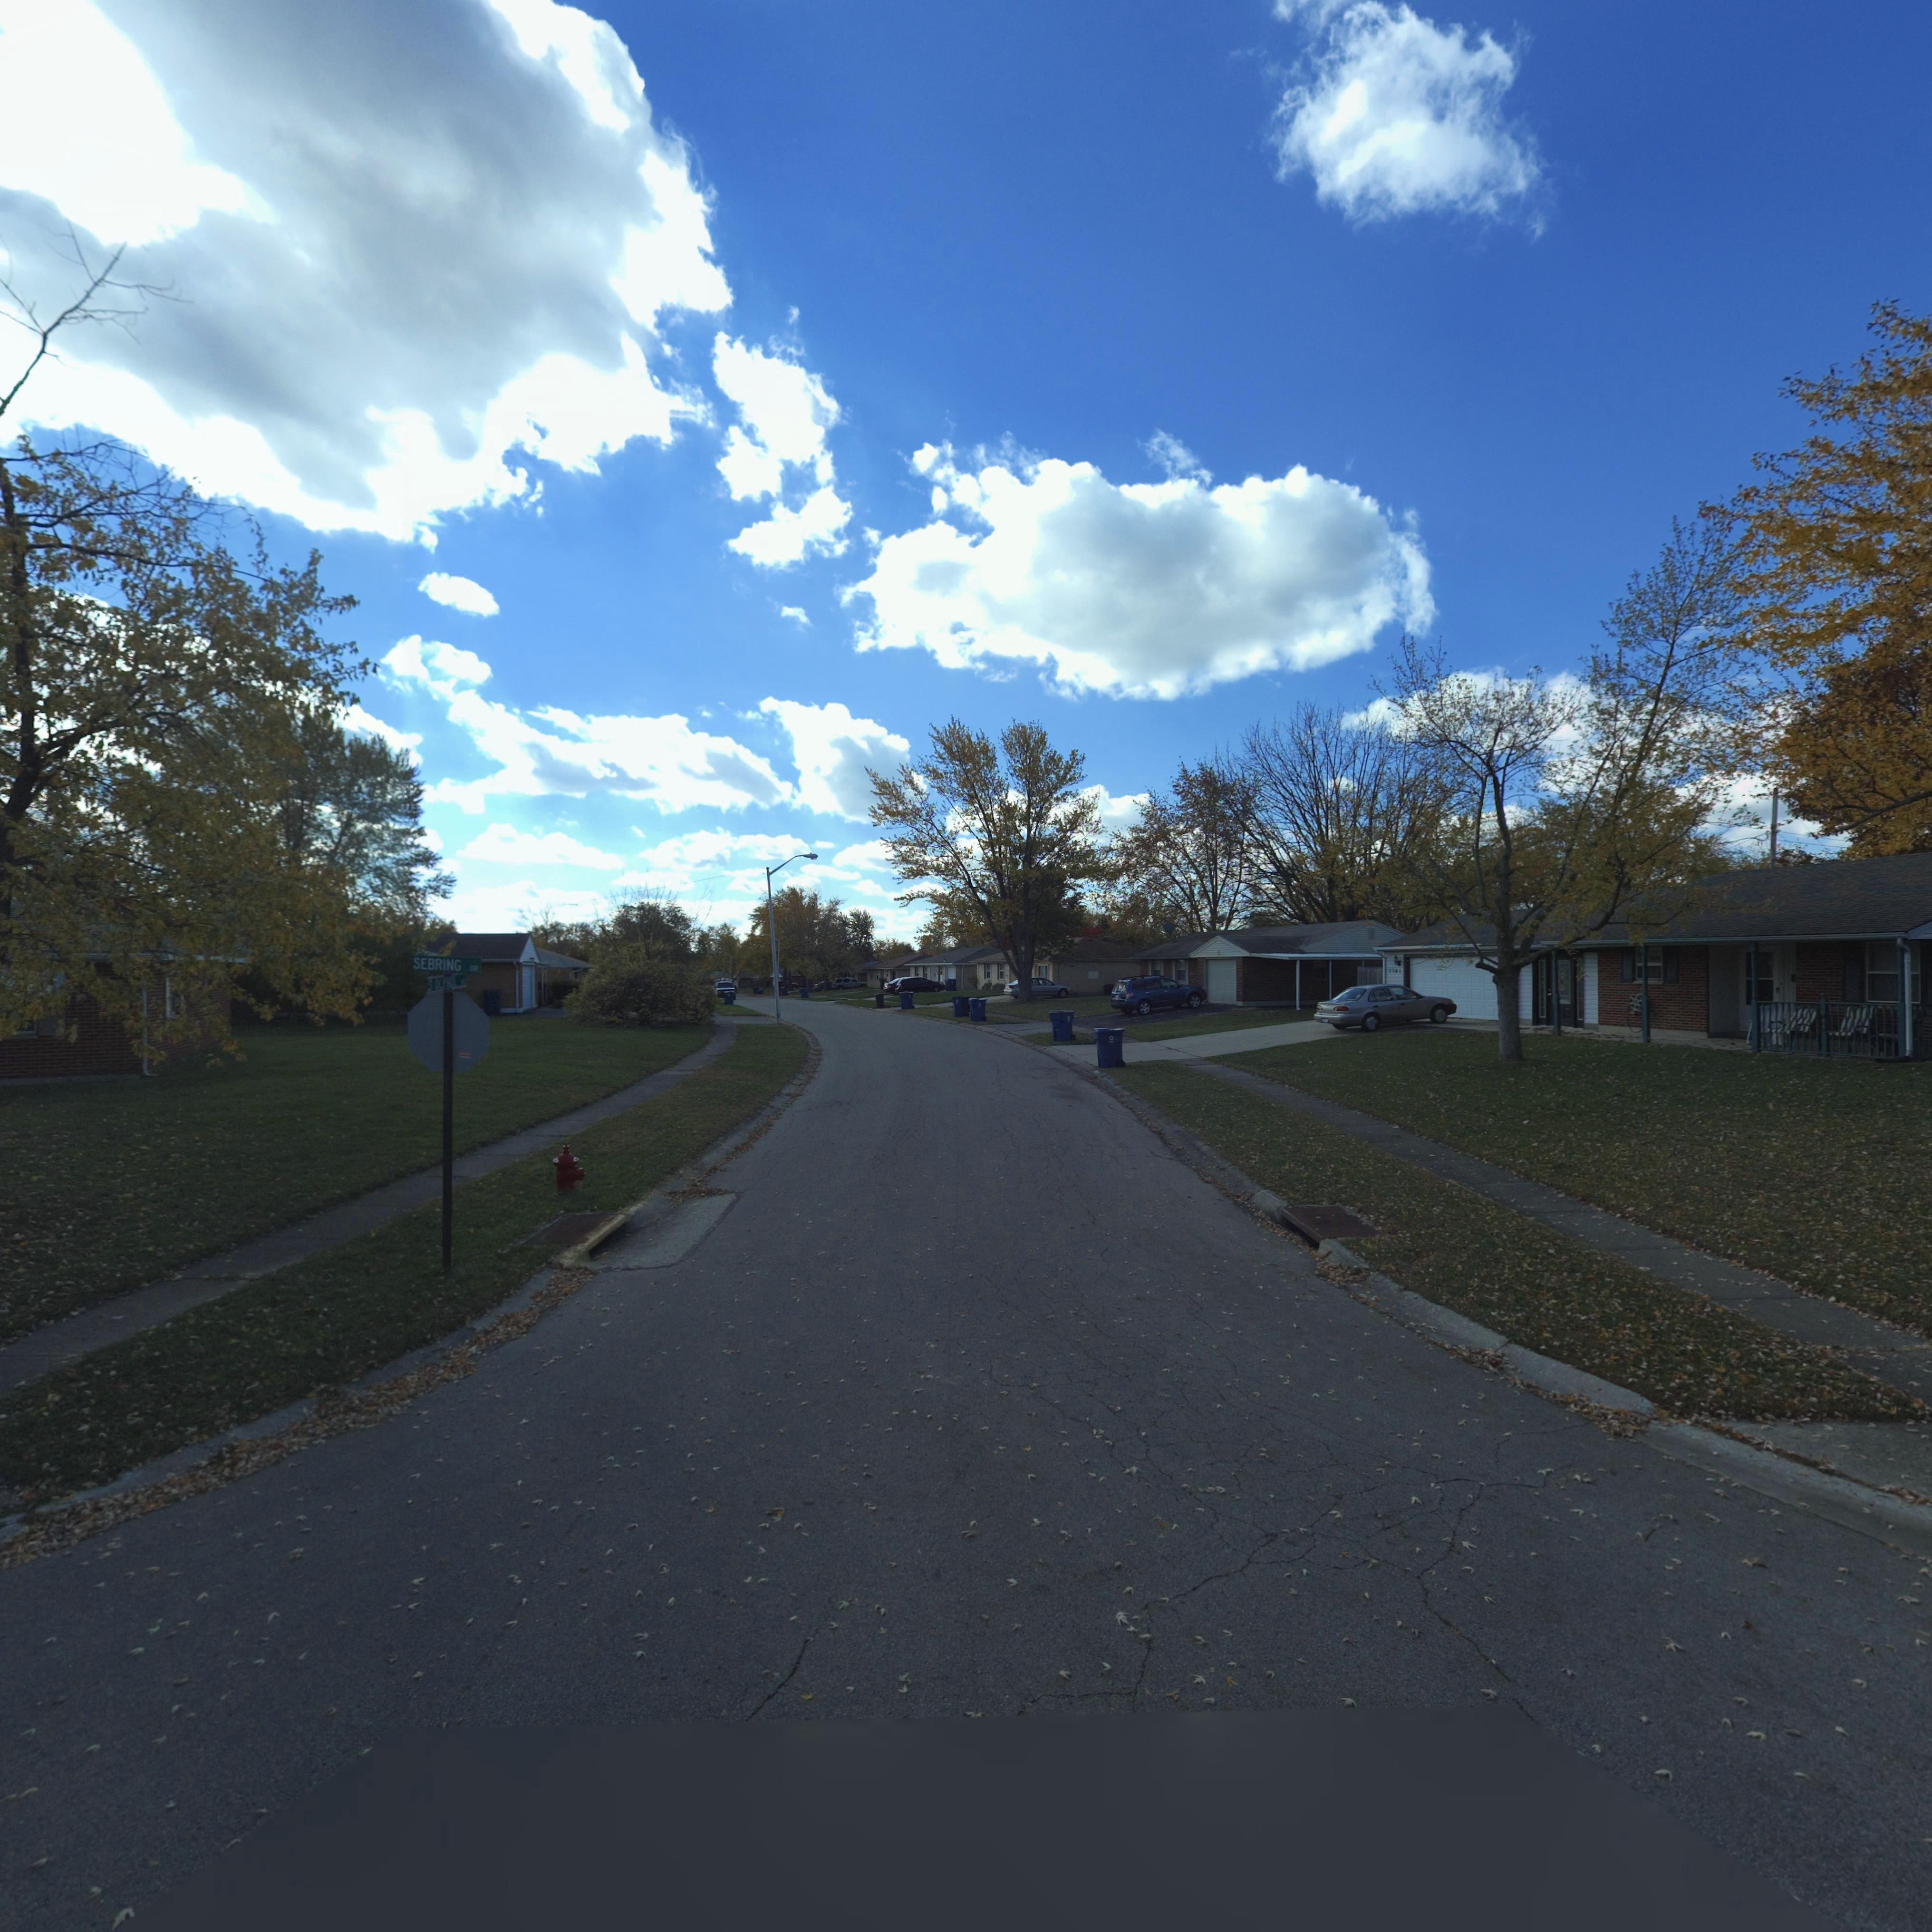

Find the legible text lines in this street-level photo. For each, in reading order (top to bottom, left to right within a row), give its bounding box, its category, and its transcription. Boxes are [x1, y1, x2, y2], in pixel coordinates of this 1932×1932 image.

[412, 957, 480, 973] StreetName: SEBRING DR
[1388, 968, 1401, 974] StreetNumber: 7781